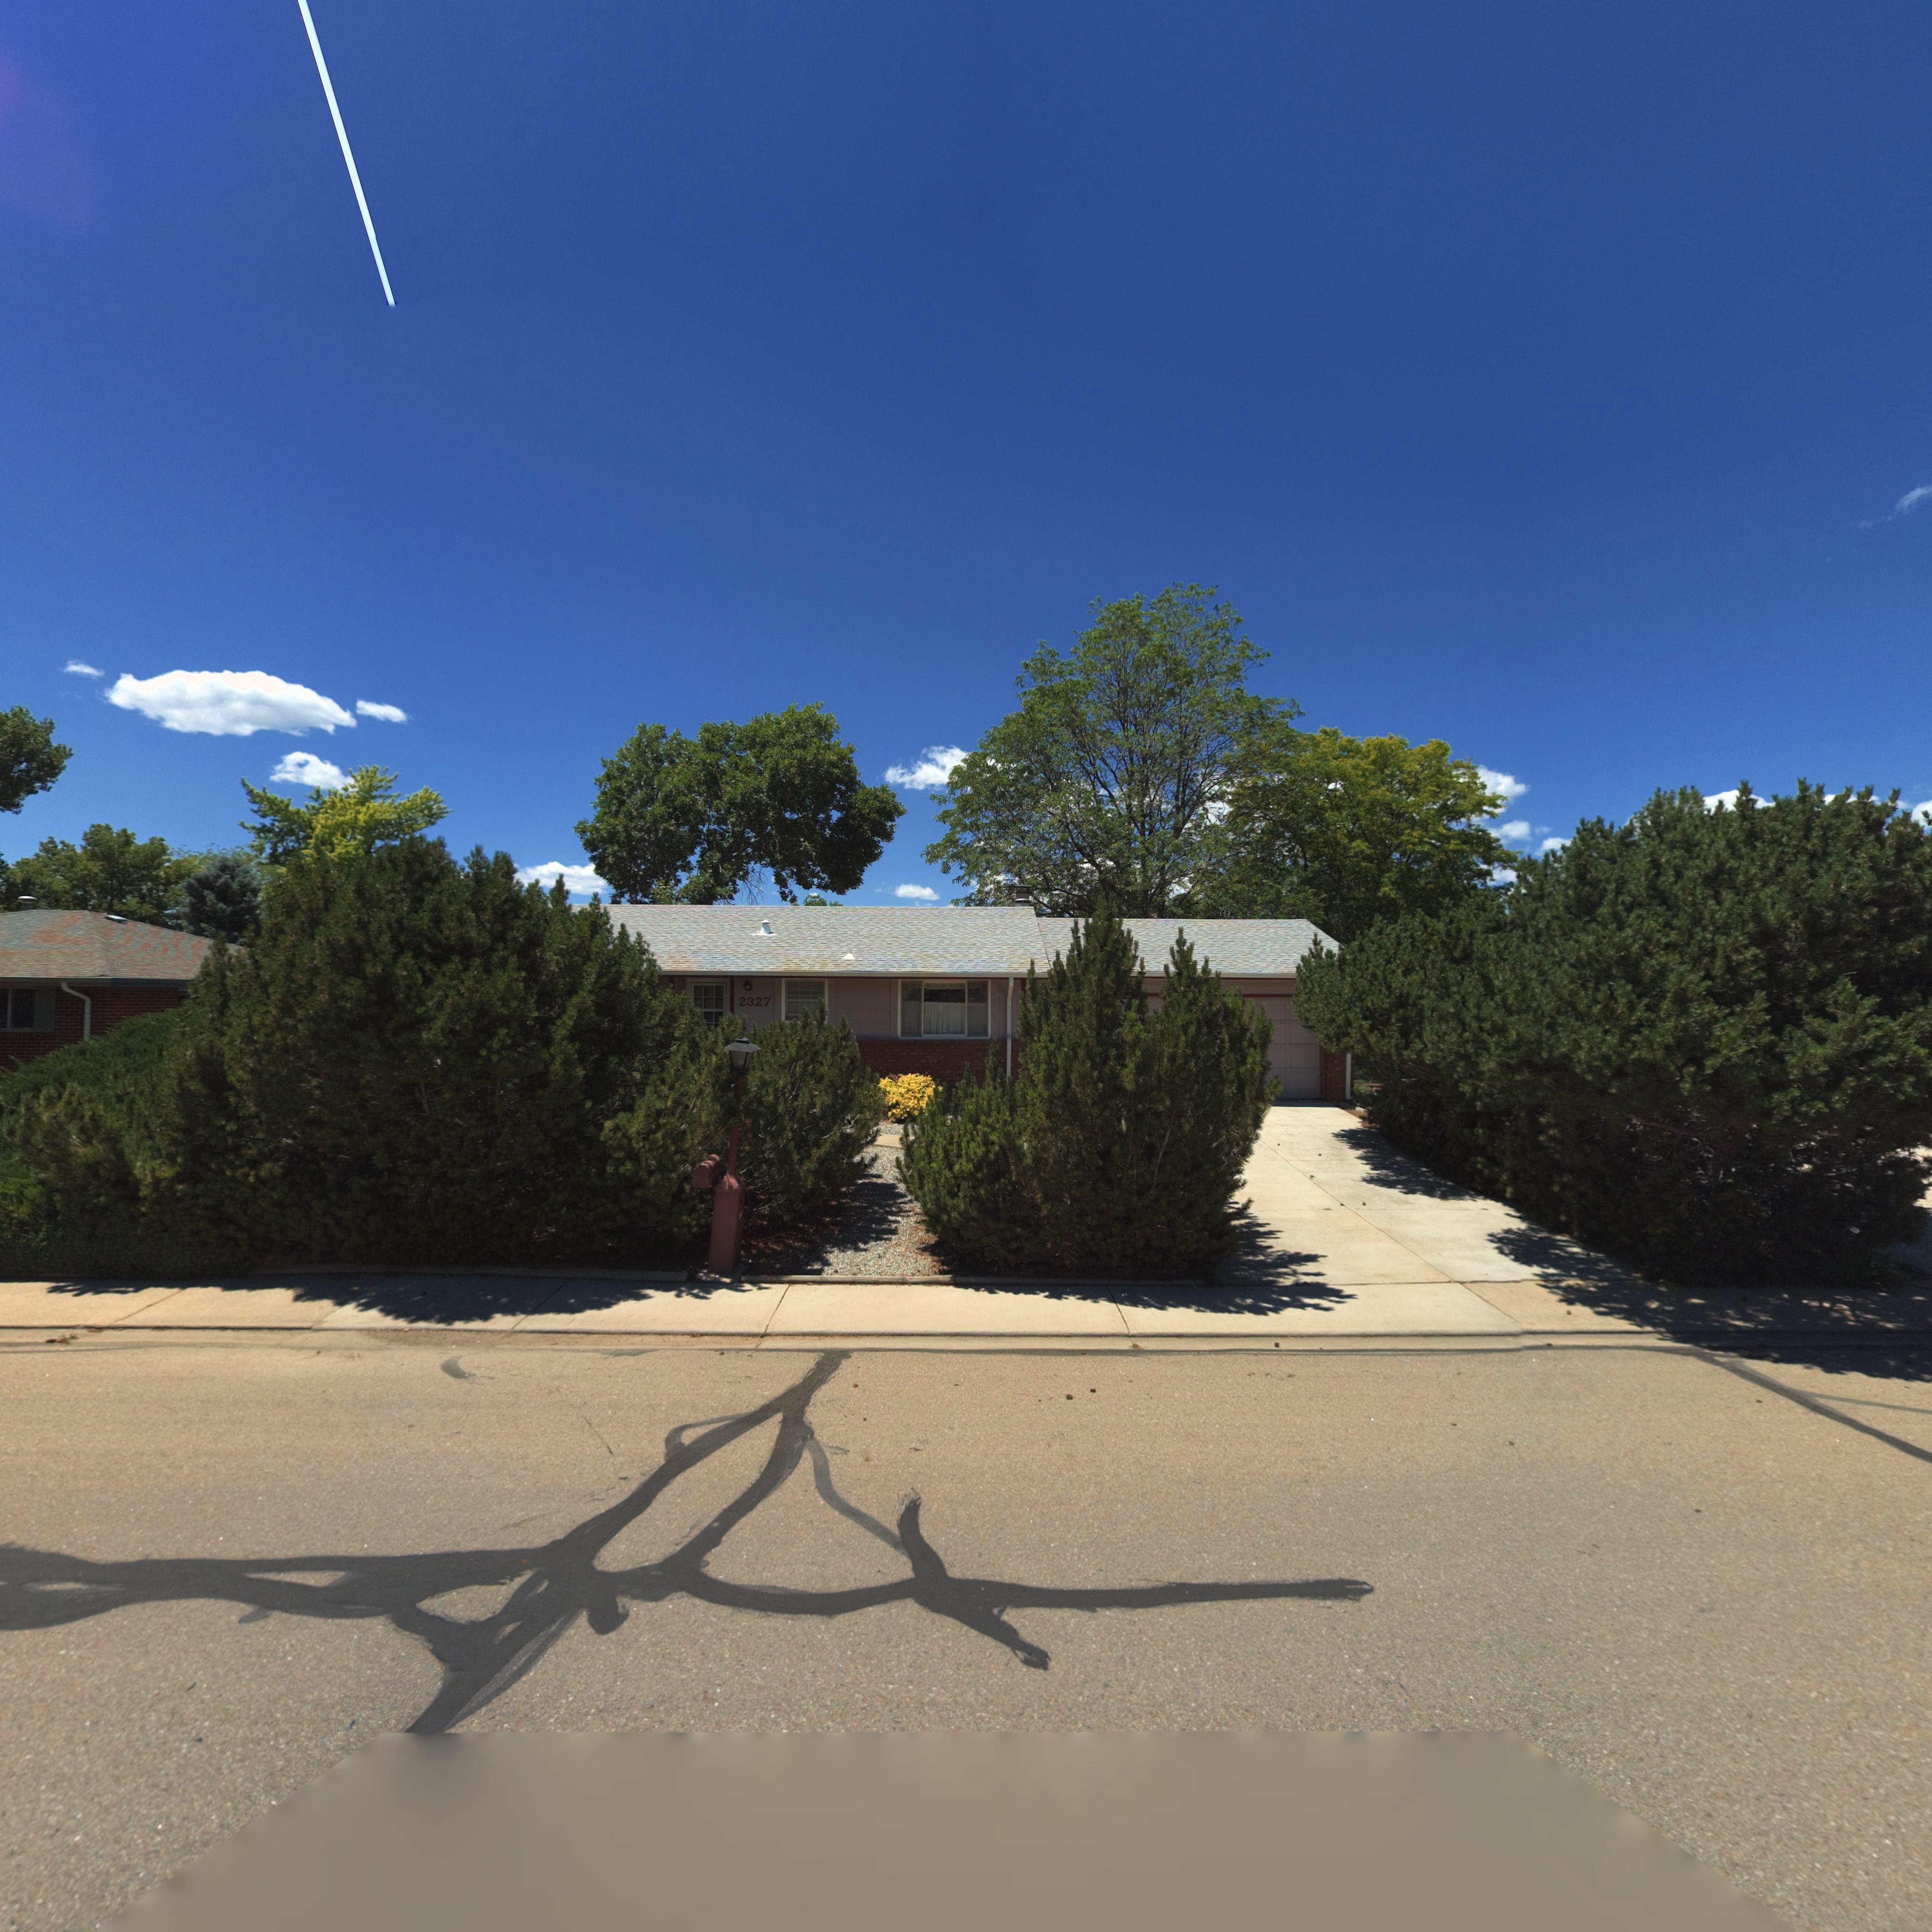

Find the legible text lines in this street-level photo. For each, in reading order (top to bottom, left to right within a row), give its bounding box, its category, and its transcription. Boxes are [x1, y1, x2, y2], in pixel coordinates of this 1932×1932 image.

[739, 997, 771, 1006] StreetNumber: 2327